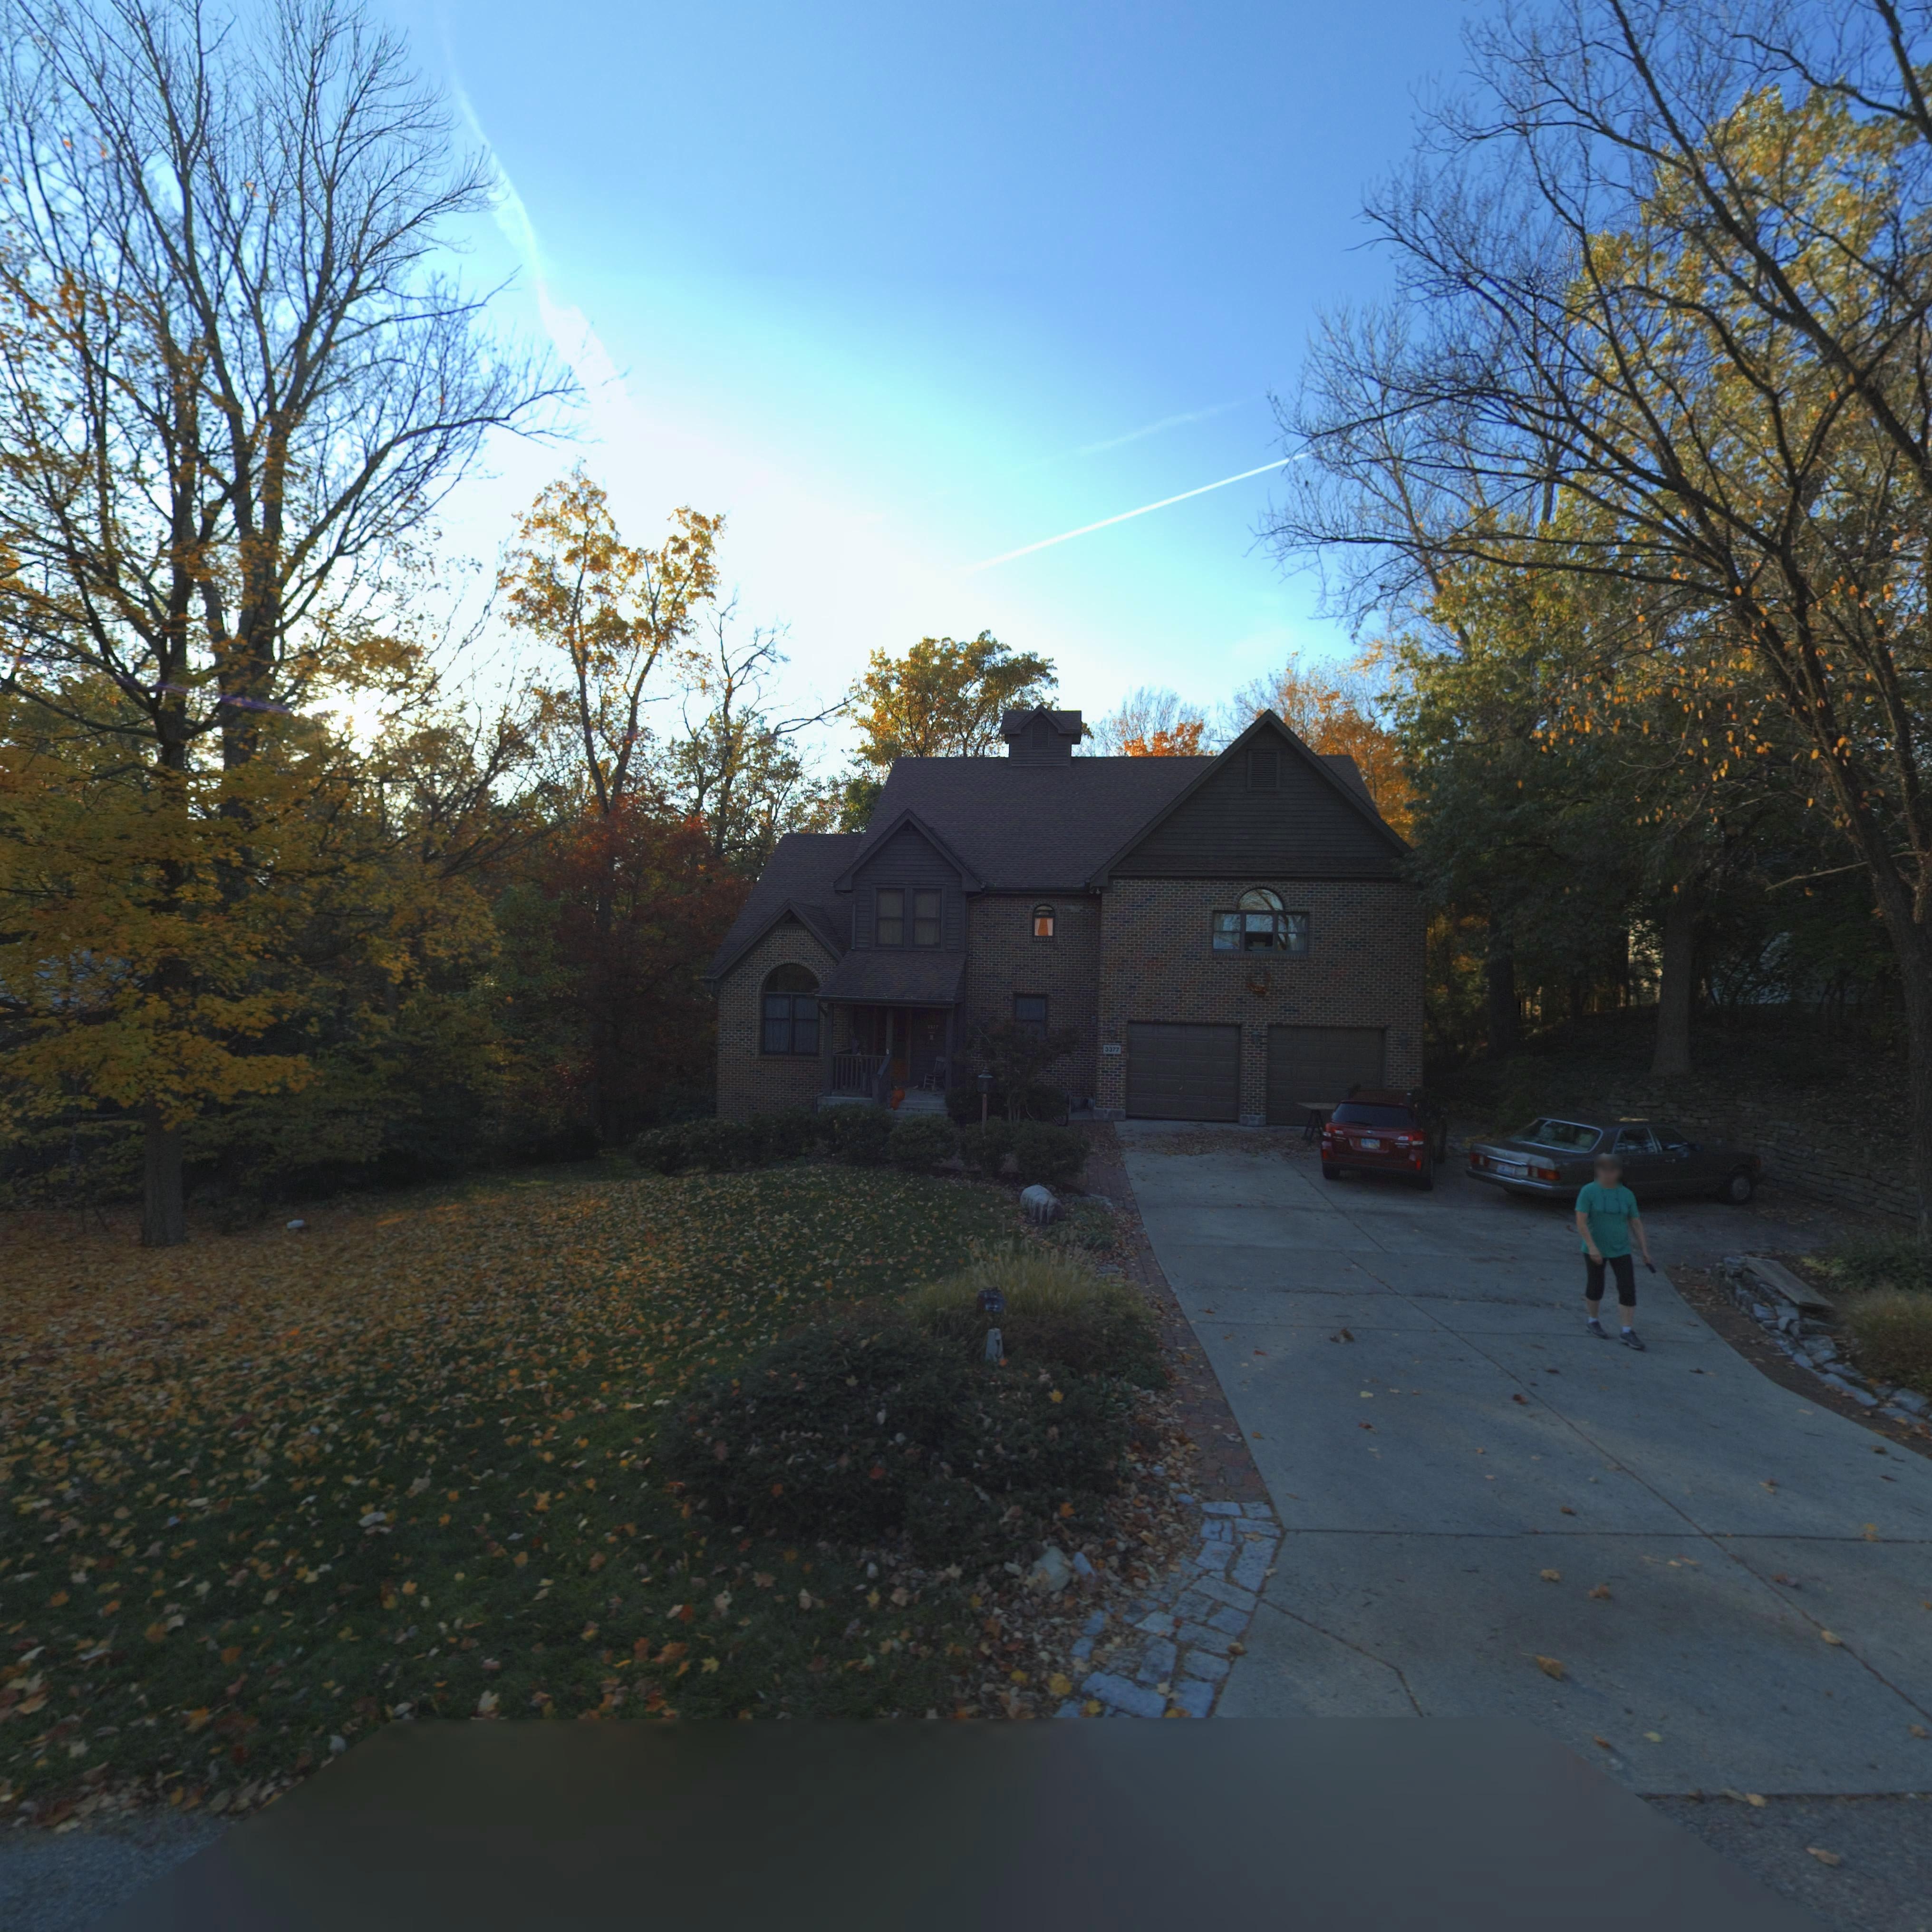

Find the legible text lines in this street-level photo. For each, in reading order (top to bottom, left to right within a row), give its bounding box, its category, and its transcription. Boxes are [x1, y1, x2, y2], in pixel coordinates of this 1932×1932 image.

[927, 1024, 938, 1029] StreetNumber: 3377
[1105, 1046, 1120, 1053] StreetNumber: 3377